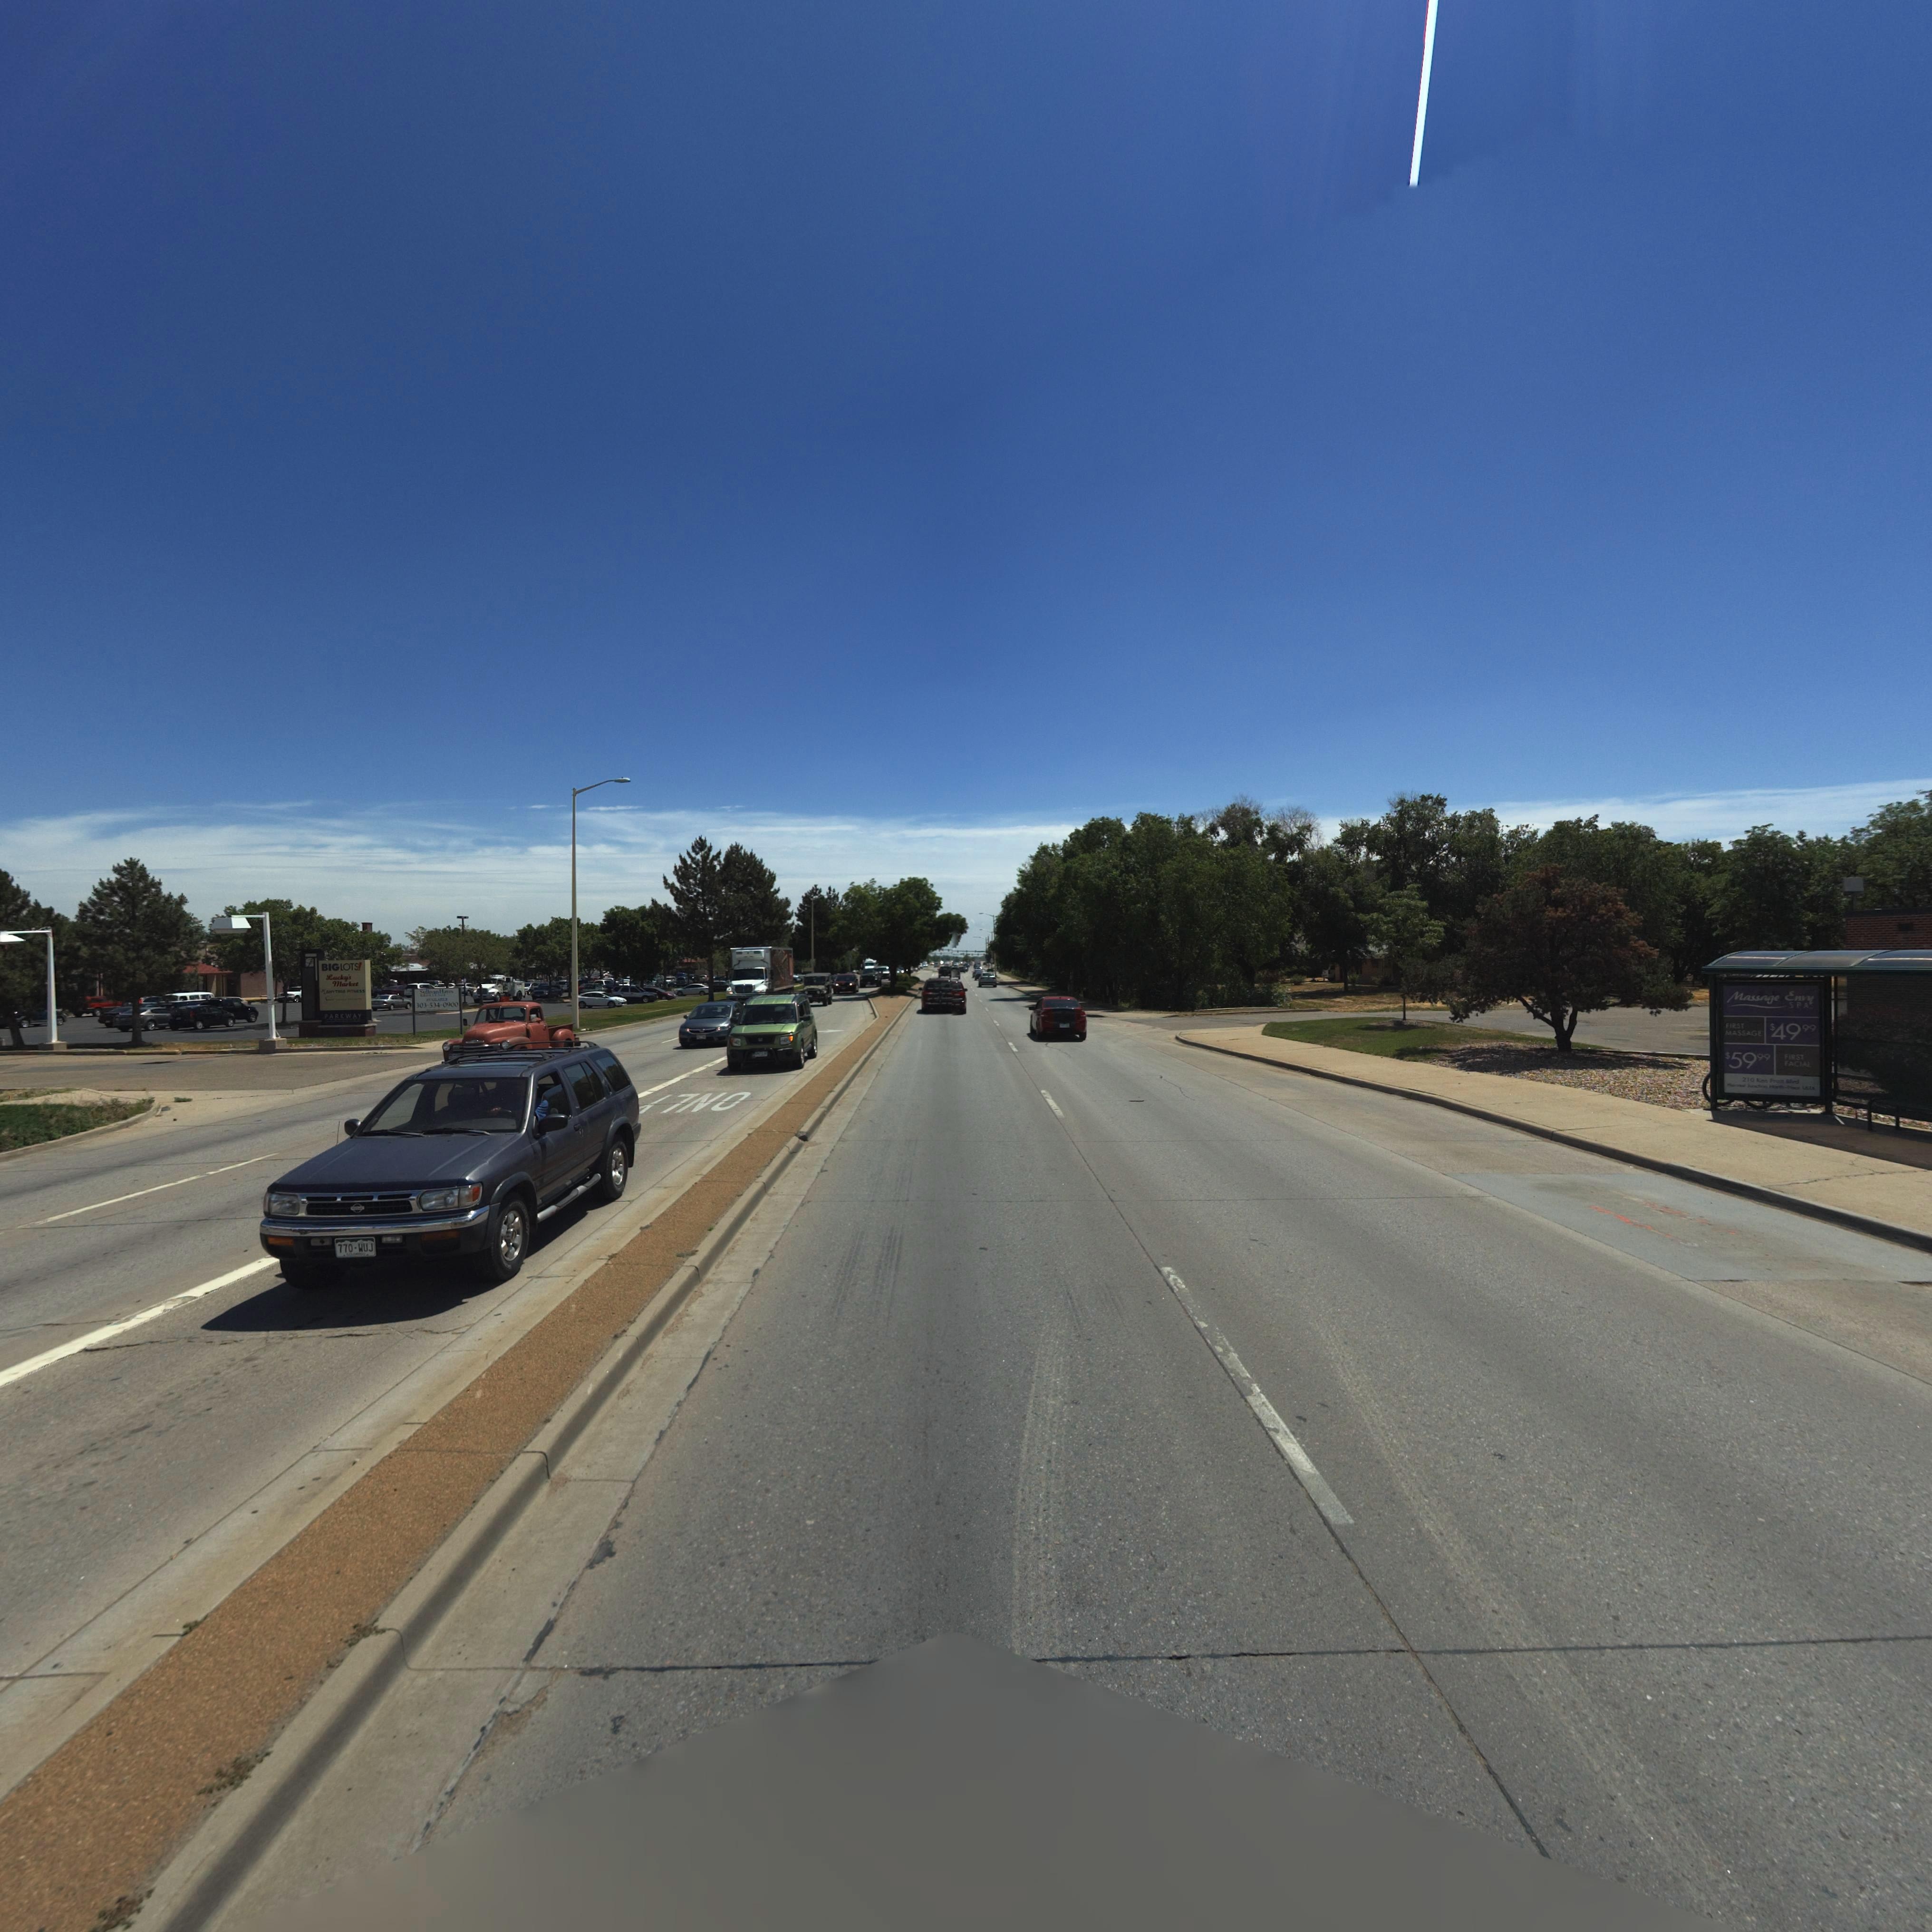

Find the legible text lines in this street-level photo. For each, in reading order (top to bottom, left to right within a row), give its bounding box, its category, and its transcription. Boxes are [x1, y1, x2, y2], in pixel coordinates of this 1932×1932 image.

[321, 961, 363, 971] BusinessName: BIG LOTS!
[325, 973, 352, 982] BusinessName: Lucky's
[332, 981, 359, 987] BusinessName: Market
[325, 989, 366, 994] BusinessName: **YT*** F**NESS